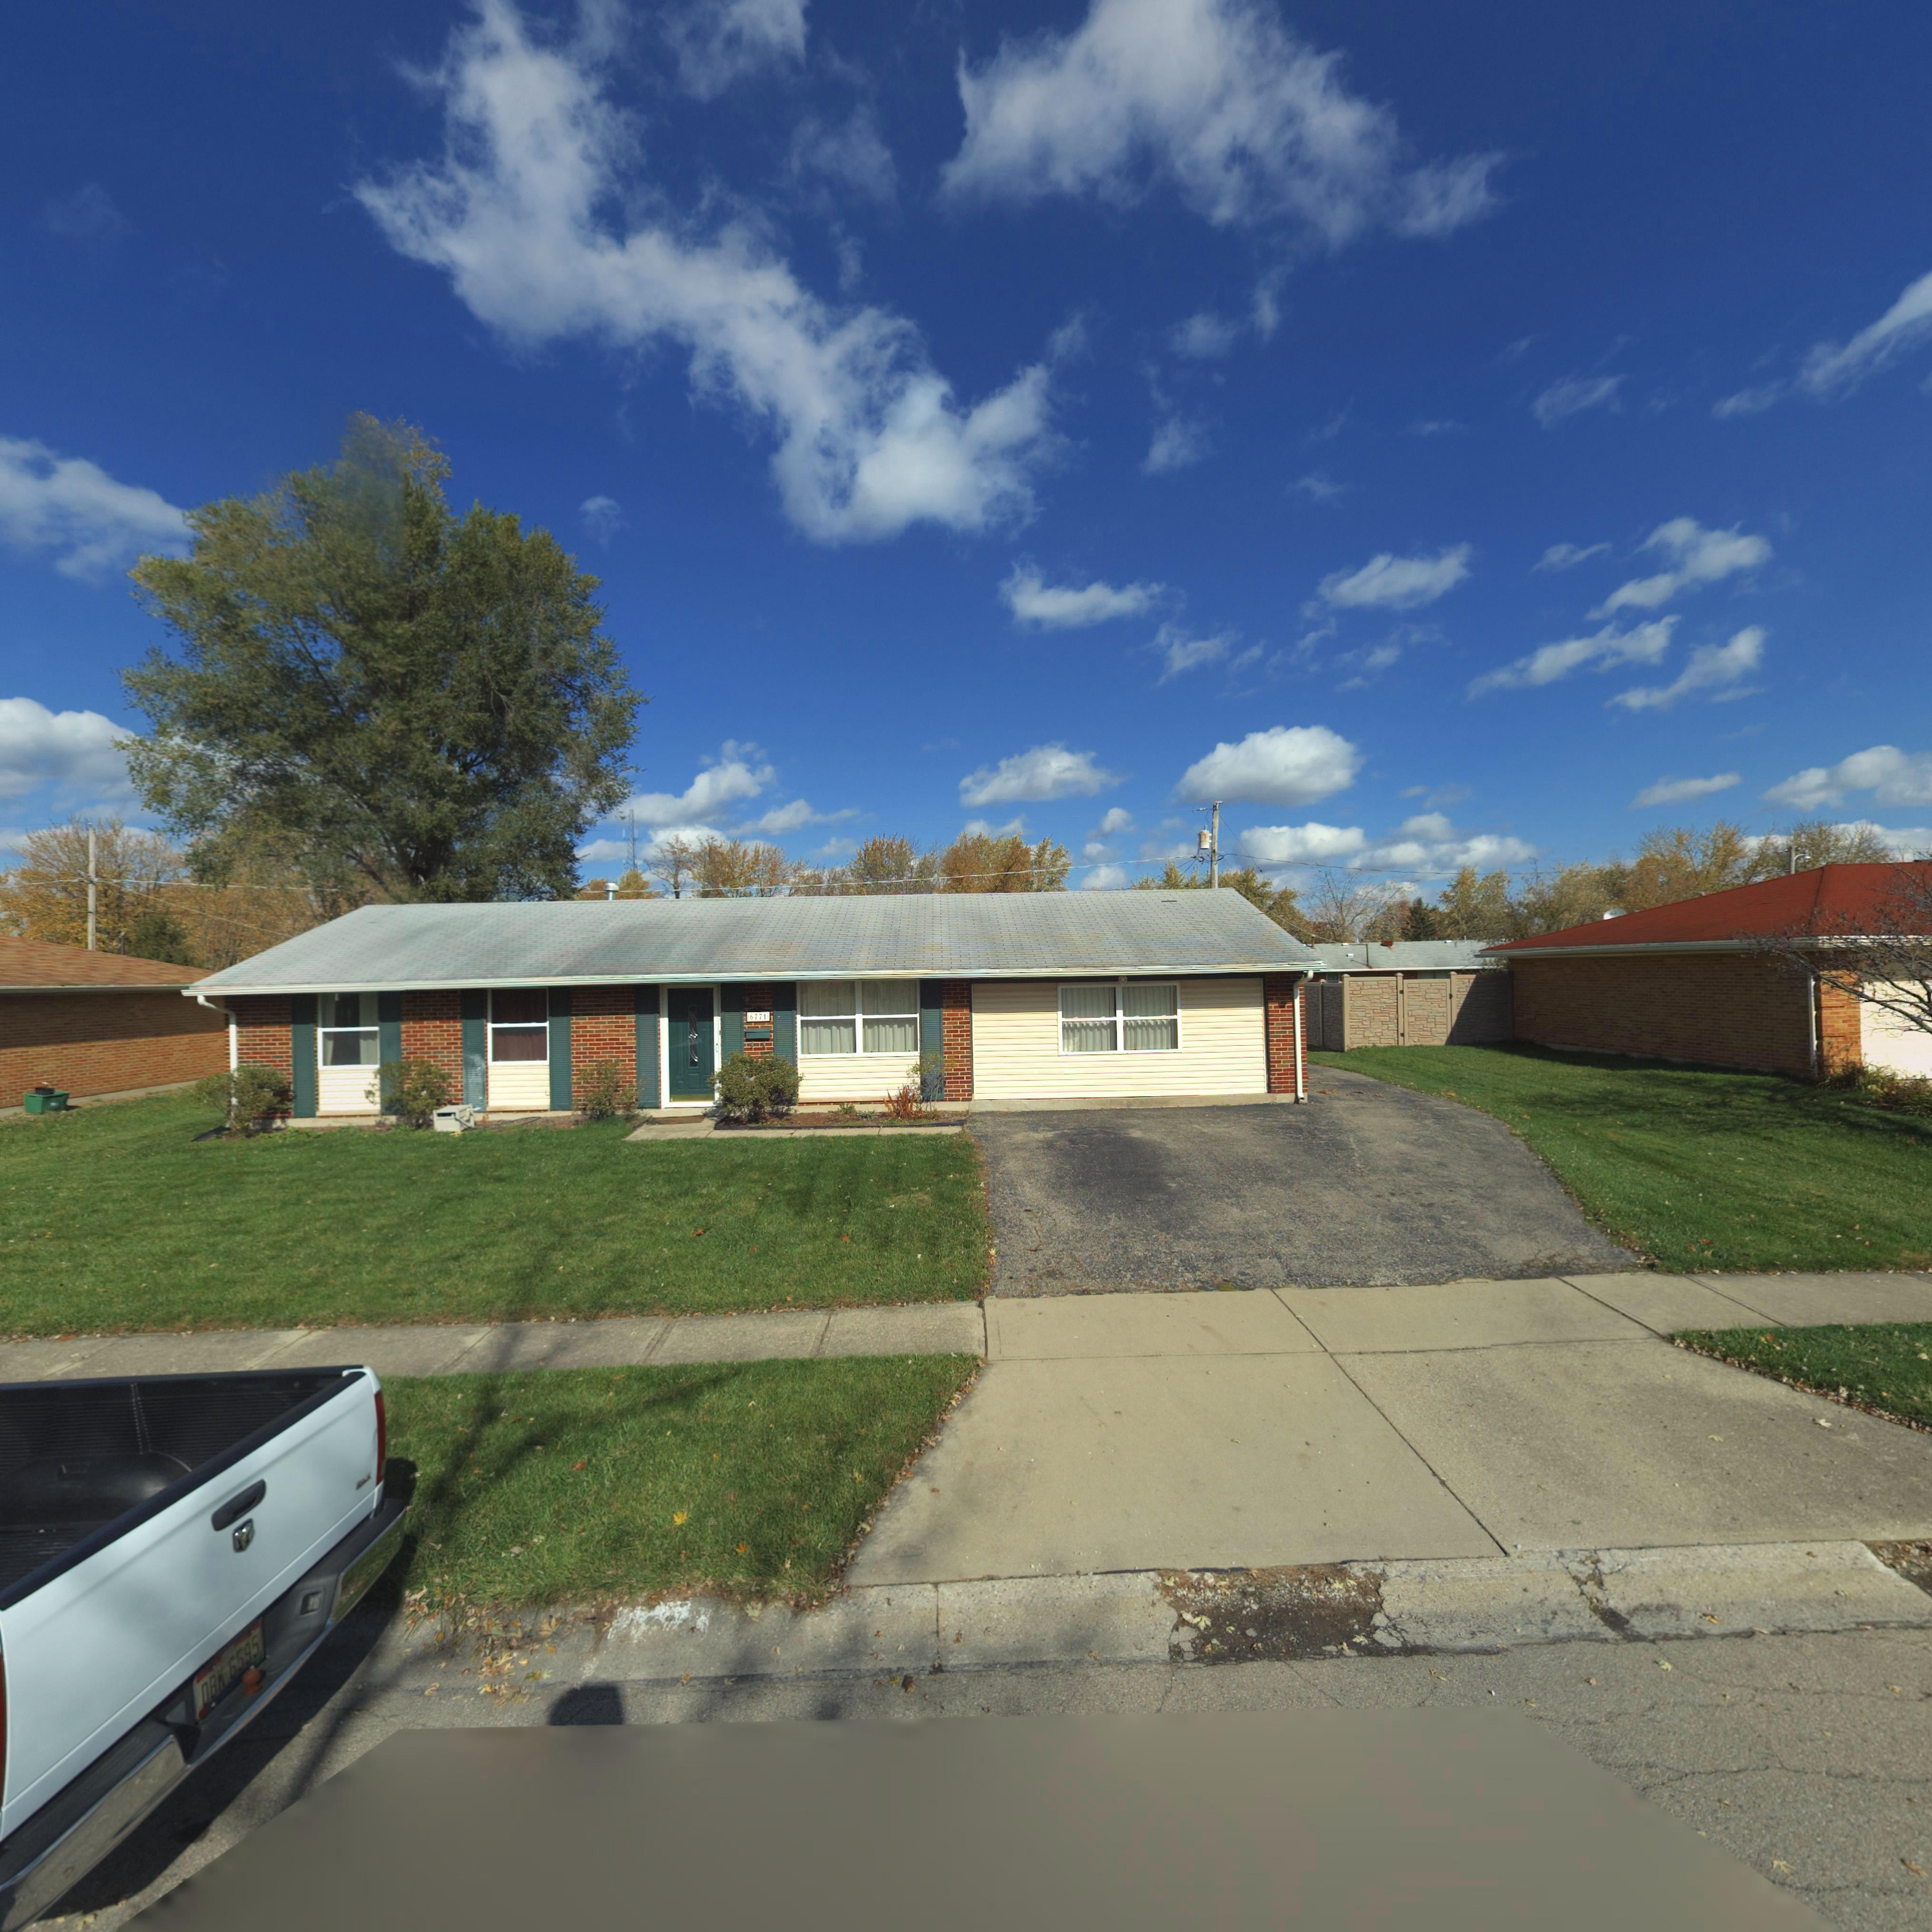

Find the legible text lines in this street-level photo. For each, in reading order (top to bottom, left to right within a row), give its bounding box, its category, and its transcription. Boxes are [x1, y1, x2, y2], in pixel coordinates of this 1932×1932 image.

[749, 1013, 767, 1020] StreetNumber: 6771